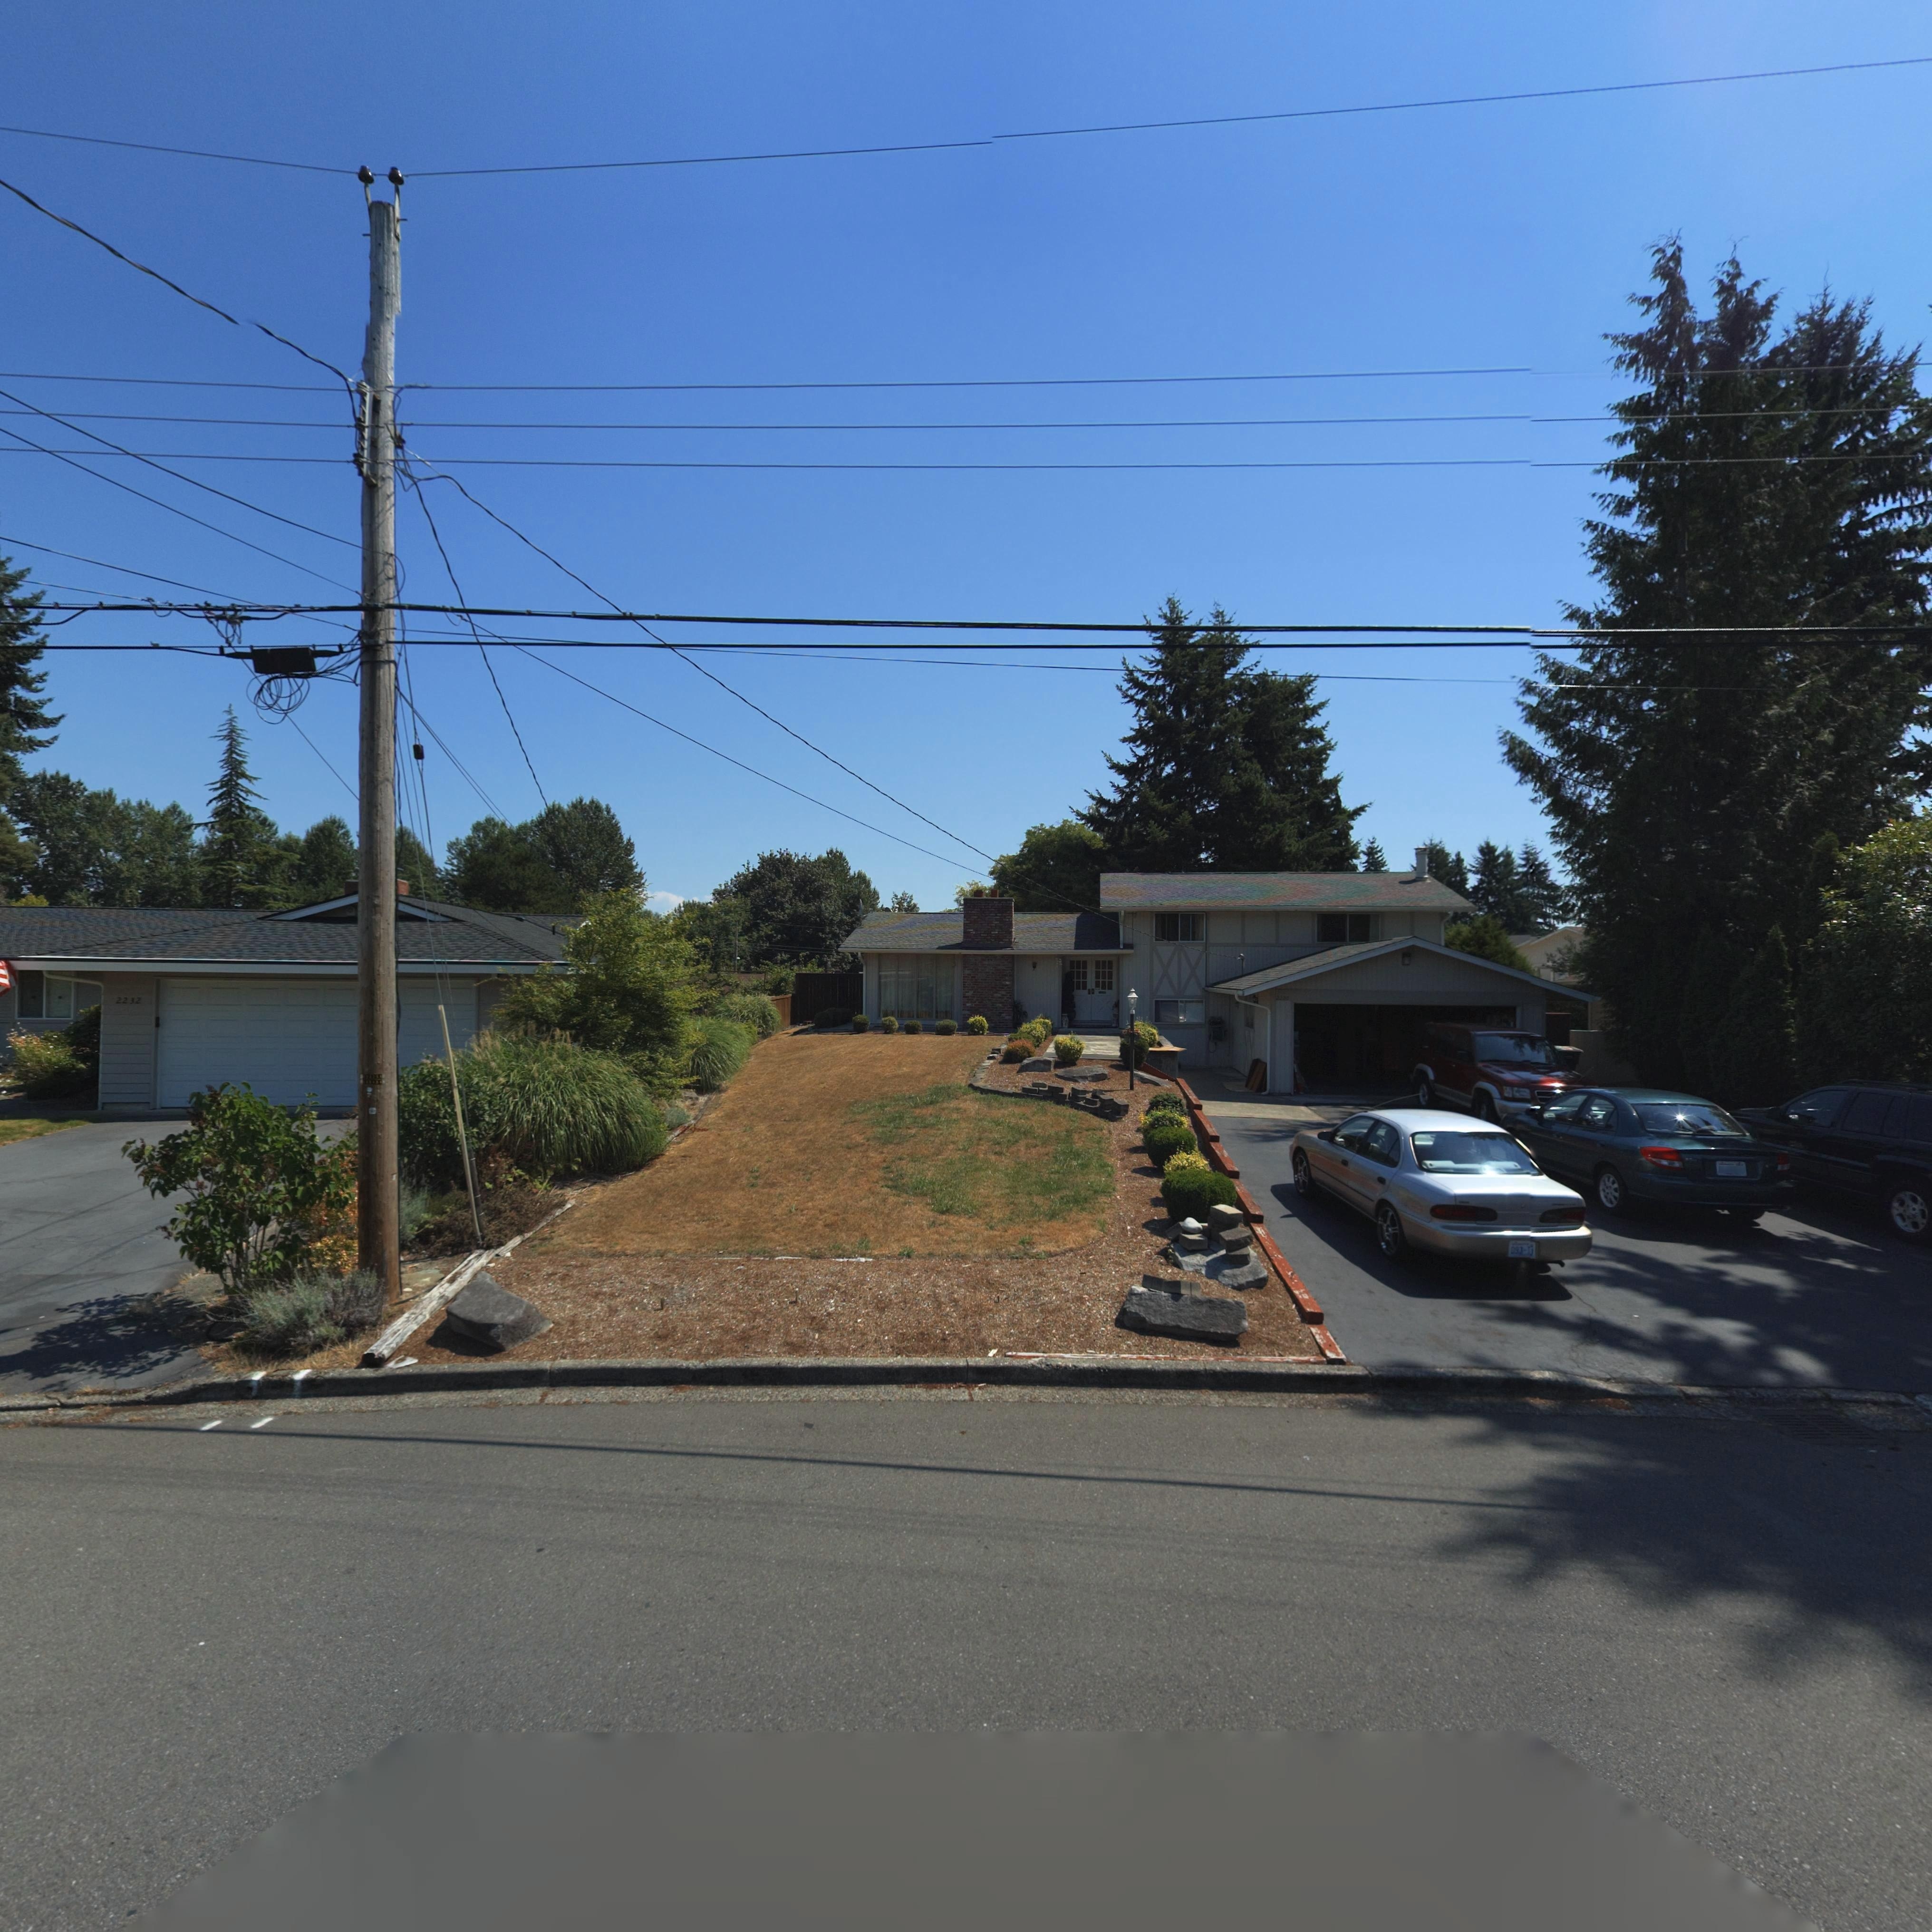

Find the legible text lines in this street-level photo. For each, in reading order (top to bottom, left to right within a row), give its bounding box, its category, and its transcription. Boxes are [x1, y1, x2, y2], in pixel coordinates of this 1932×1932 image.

[116, 996, 141, 1004] StreetNumber: 2232